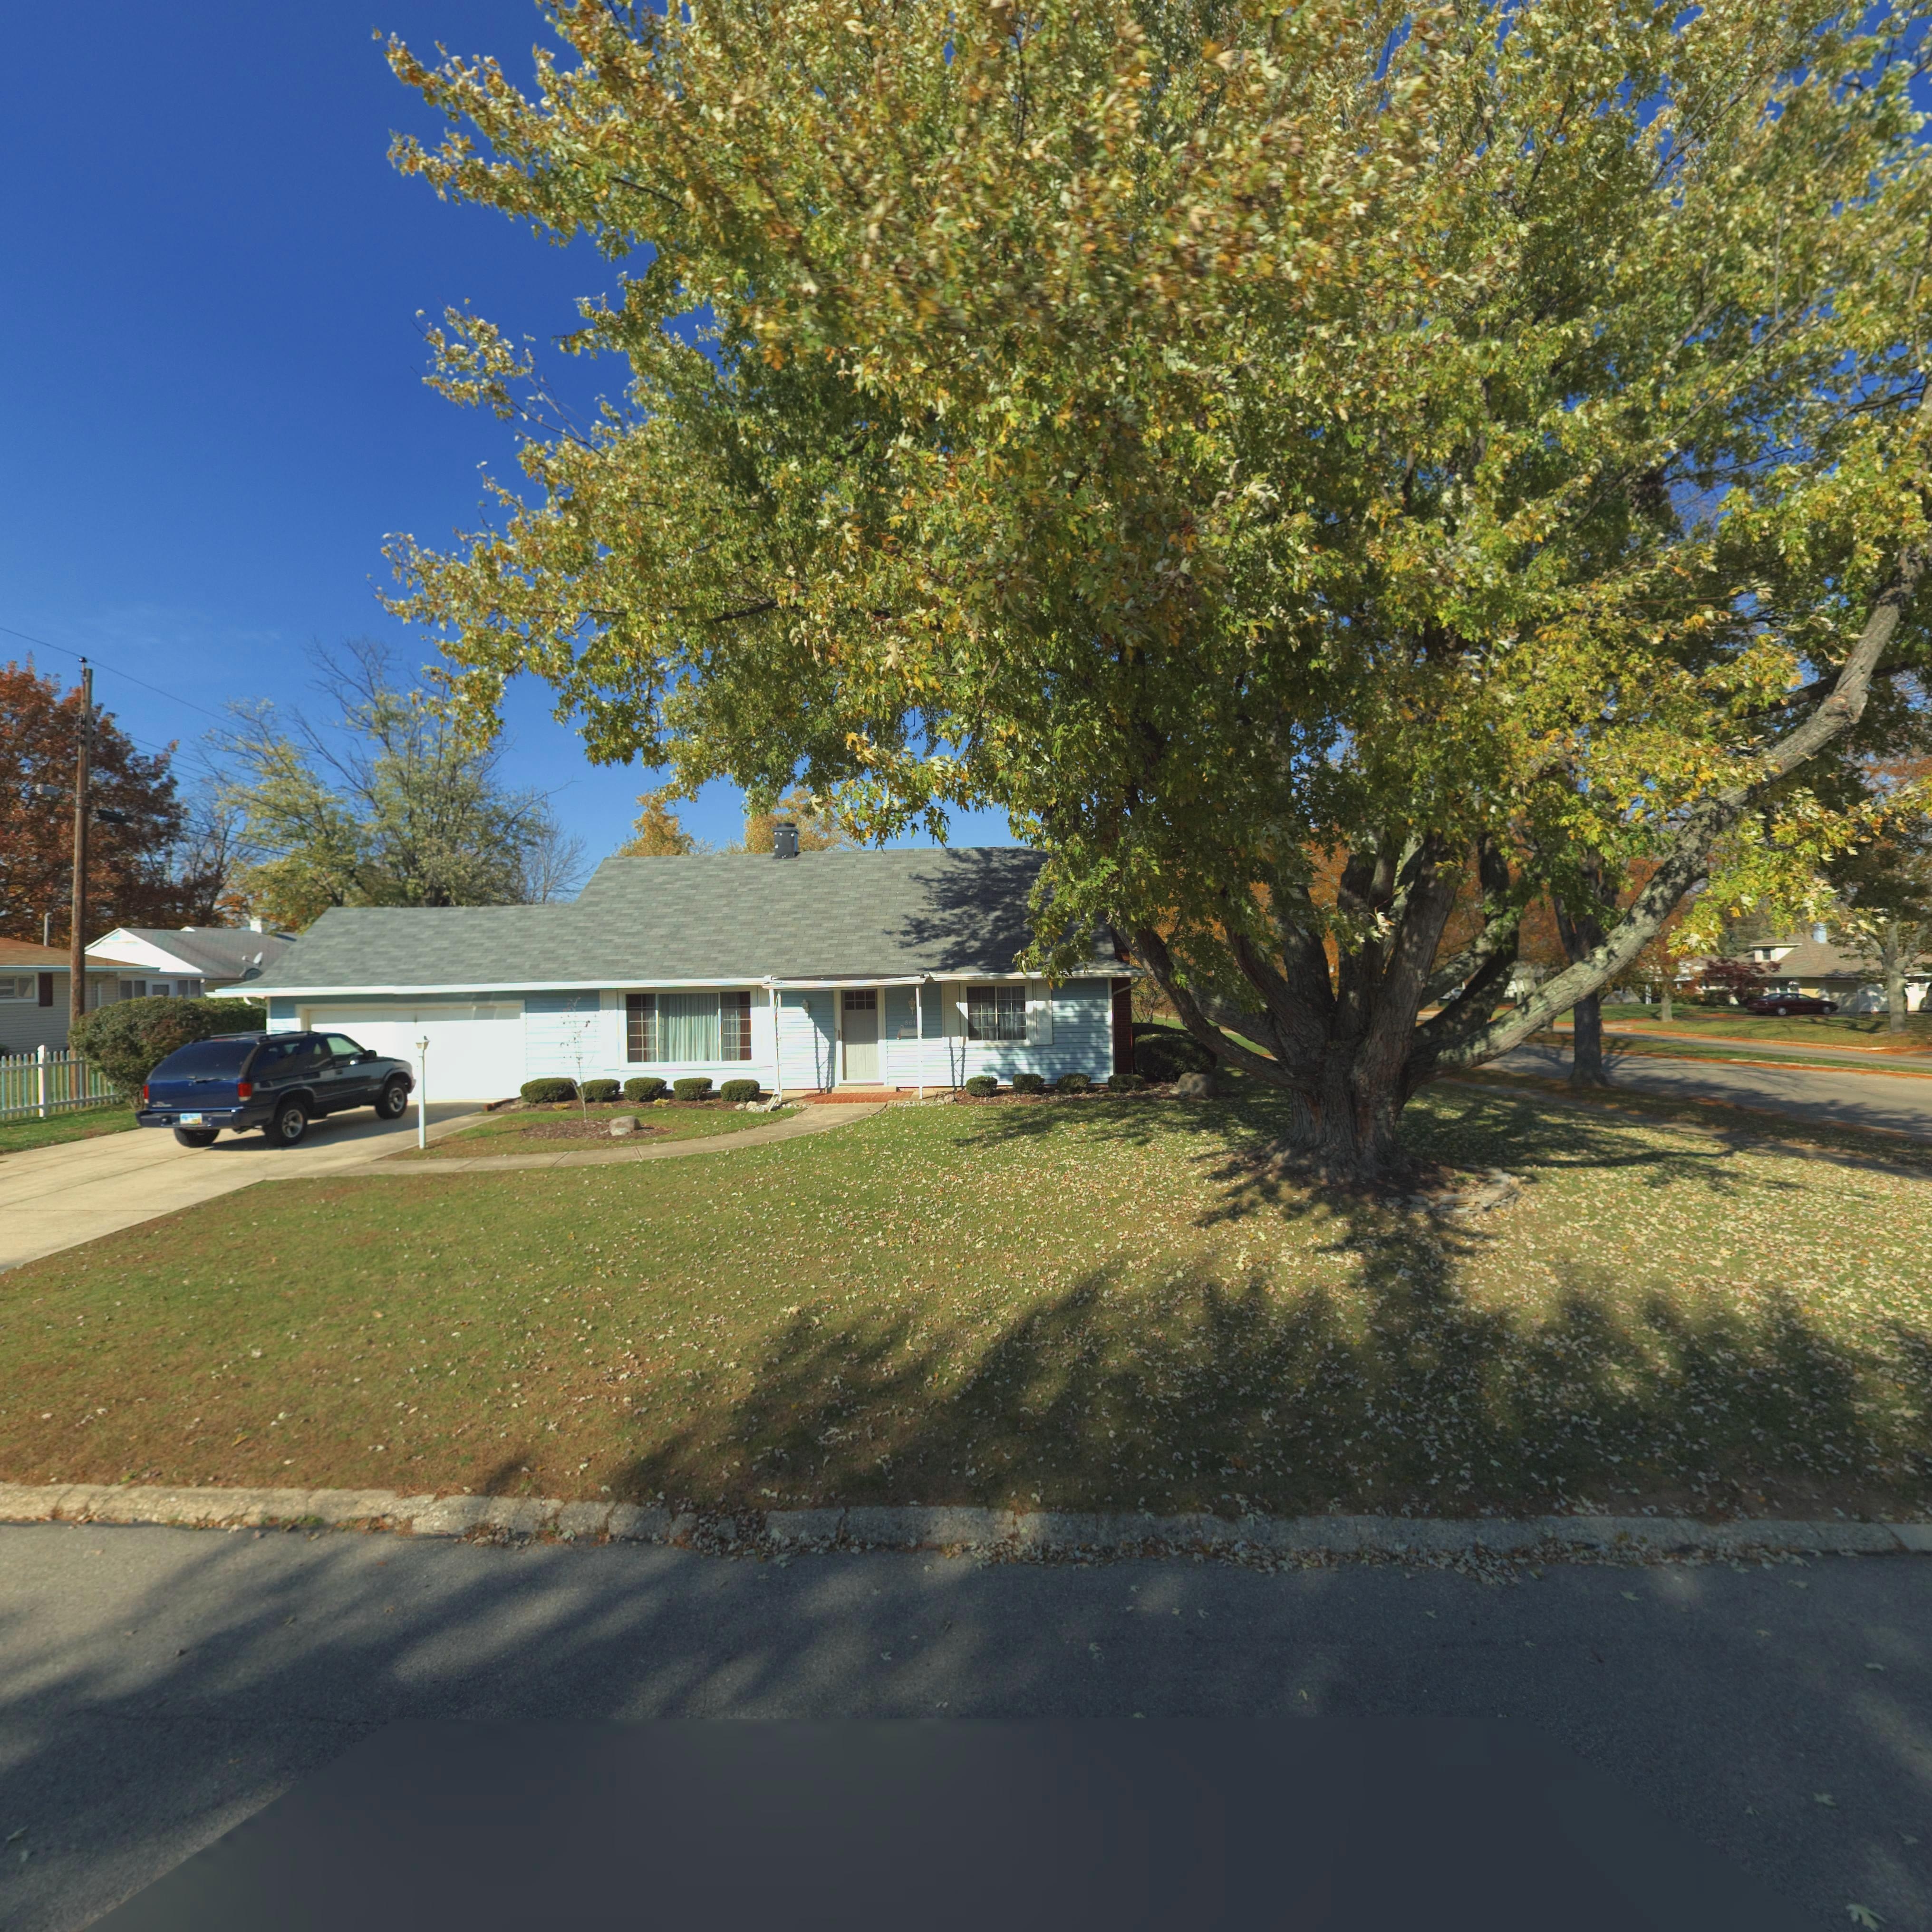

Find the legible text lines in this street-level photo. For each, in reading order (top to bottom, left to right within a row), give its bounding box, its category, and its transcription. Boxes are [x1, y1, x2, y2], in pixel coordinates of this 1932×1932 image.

[904, 1019, 916, 1026] StreetNumber: 861